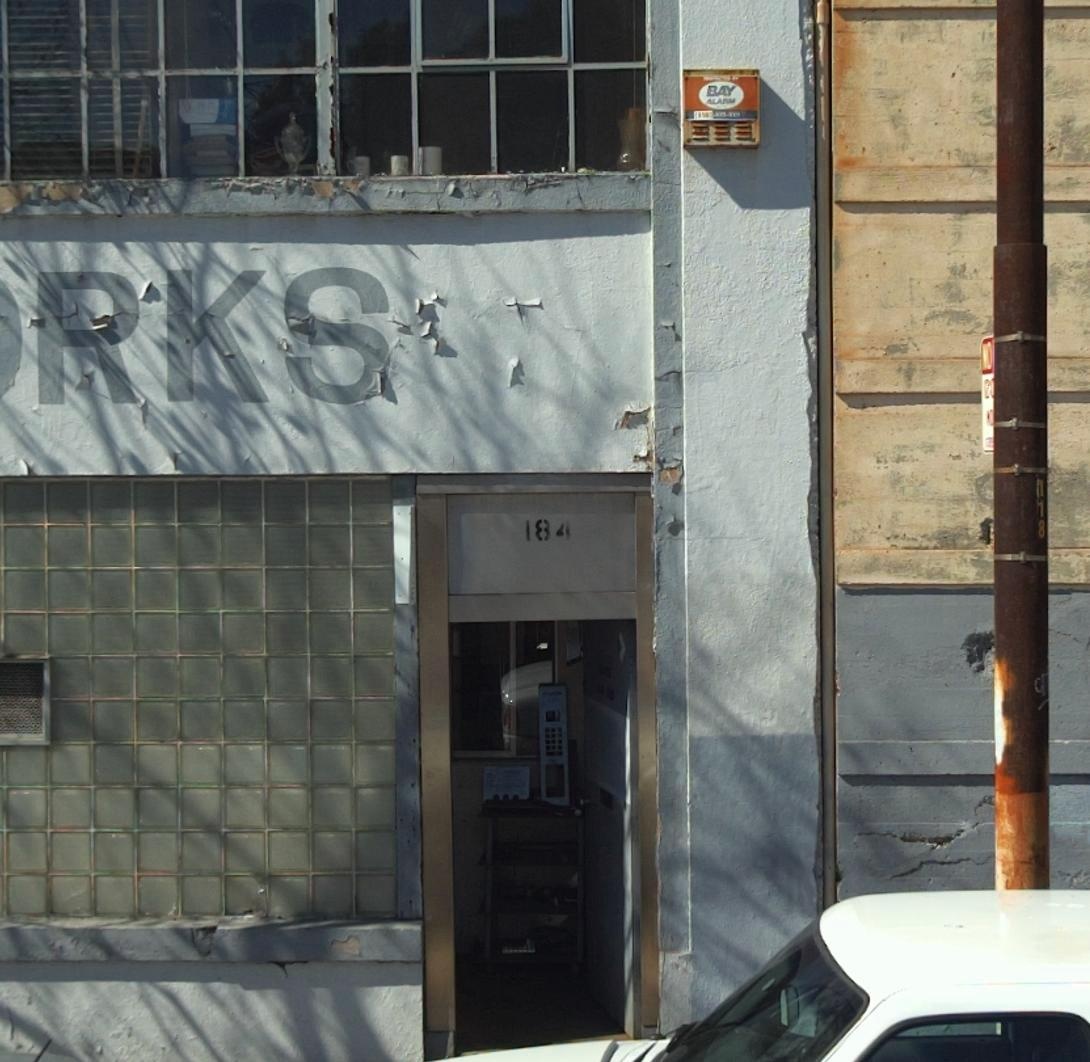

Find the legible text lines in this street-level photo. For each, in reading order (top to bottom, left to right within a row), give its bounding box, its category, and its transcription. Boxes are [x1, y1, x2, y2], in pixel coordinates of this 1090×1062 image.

[702, 83, 740, 99] None: BAY
[704, 96, 738, 106] None: ALARM
[31, 262, 396, 411] None: RKS
[521, 515, 576, 546] StreetNumber: 184